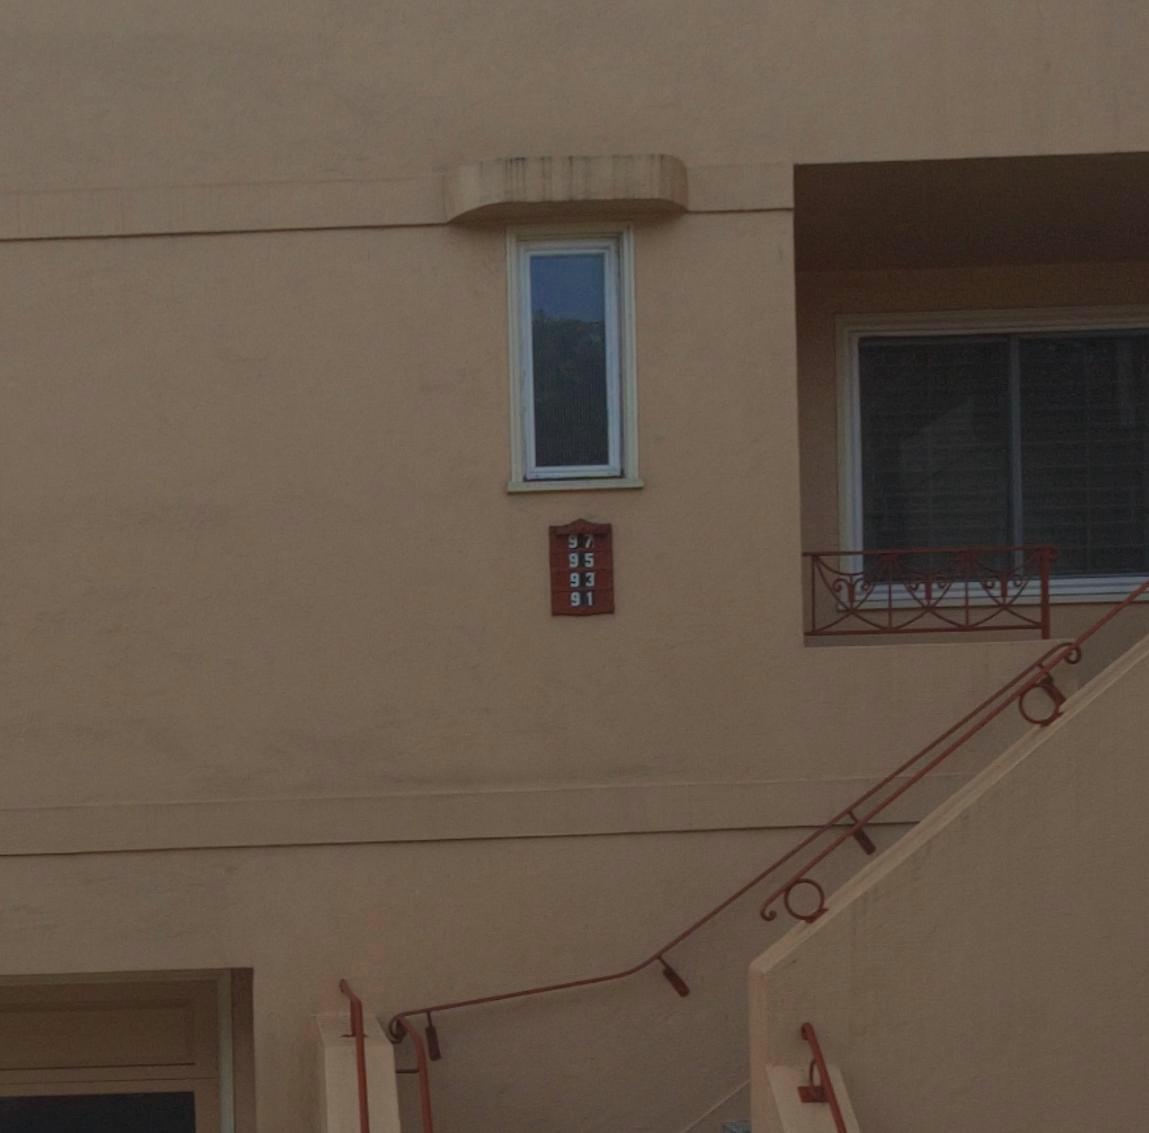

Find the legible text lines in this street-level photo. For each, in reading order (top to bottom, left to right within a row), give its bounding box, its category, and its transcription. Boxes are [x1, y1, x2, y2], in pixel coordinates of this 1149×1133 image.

[566, 533, 595, 550] StreetNumber: 97
[566, 551, 597, 570] StreetNumber: 95
[568, 570, 597, 590] StreetNumber: 93
[569, 589, 595, 609] StreetNumber: 91